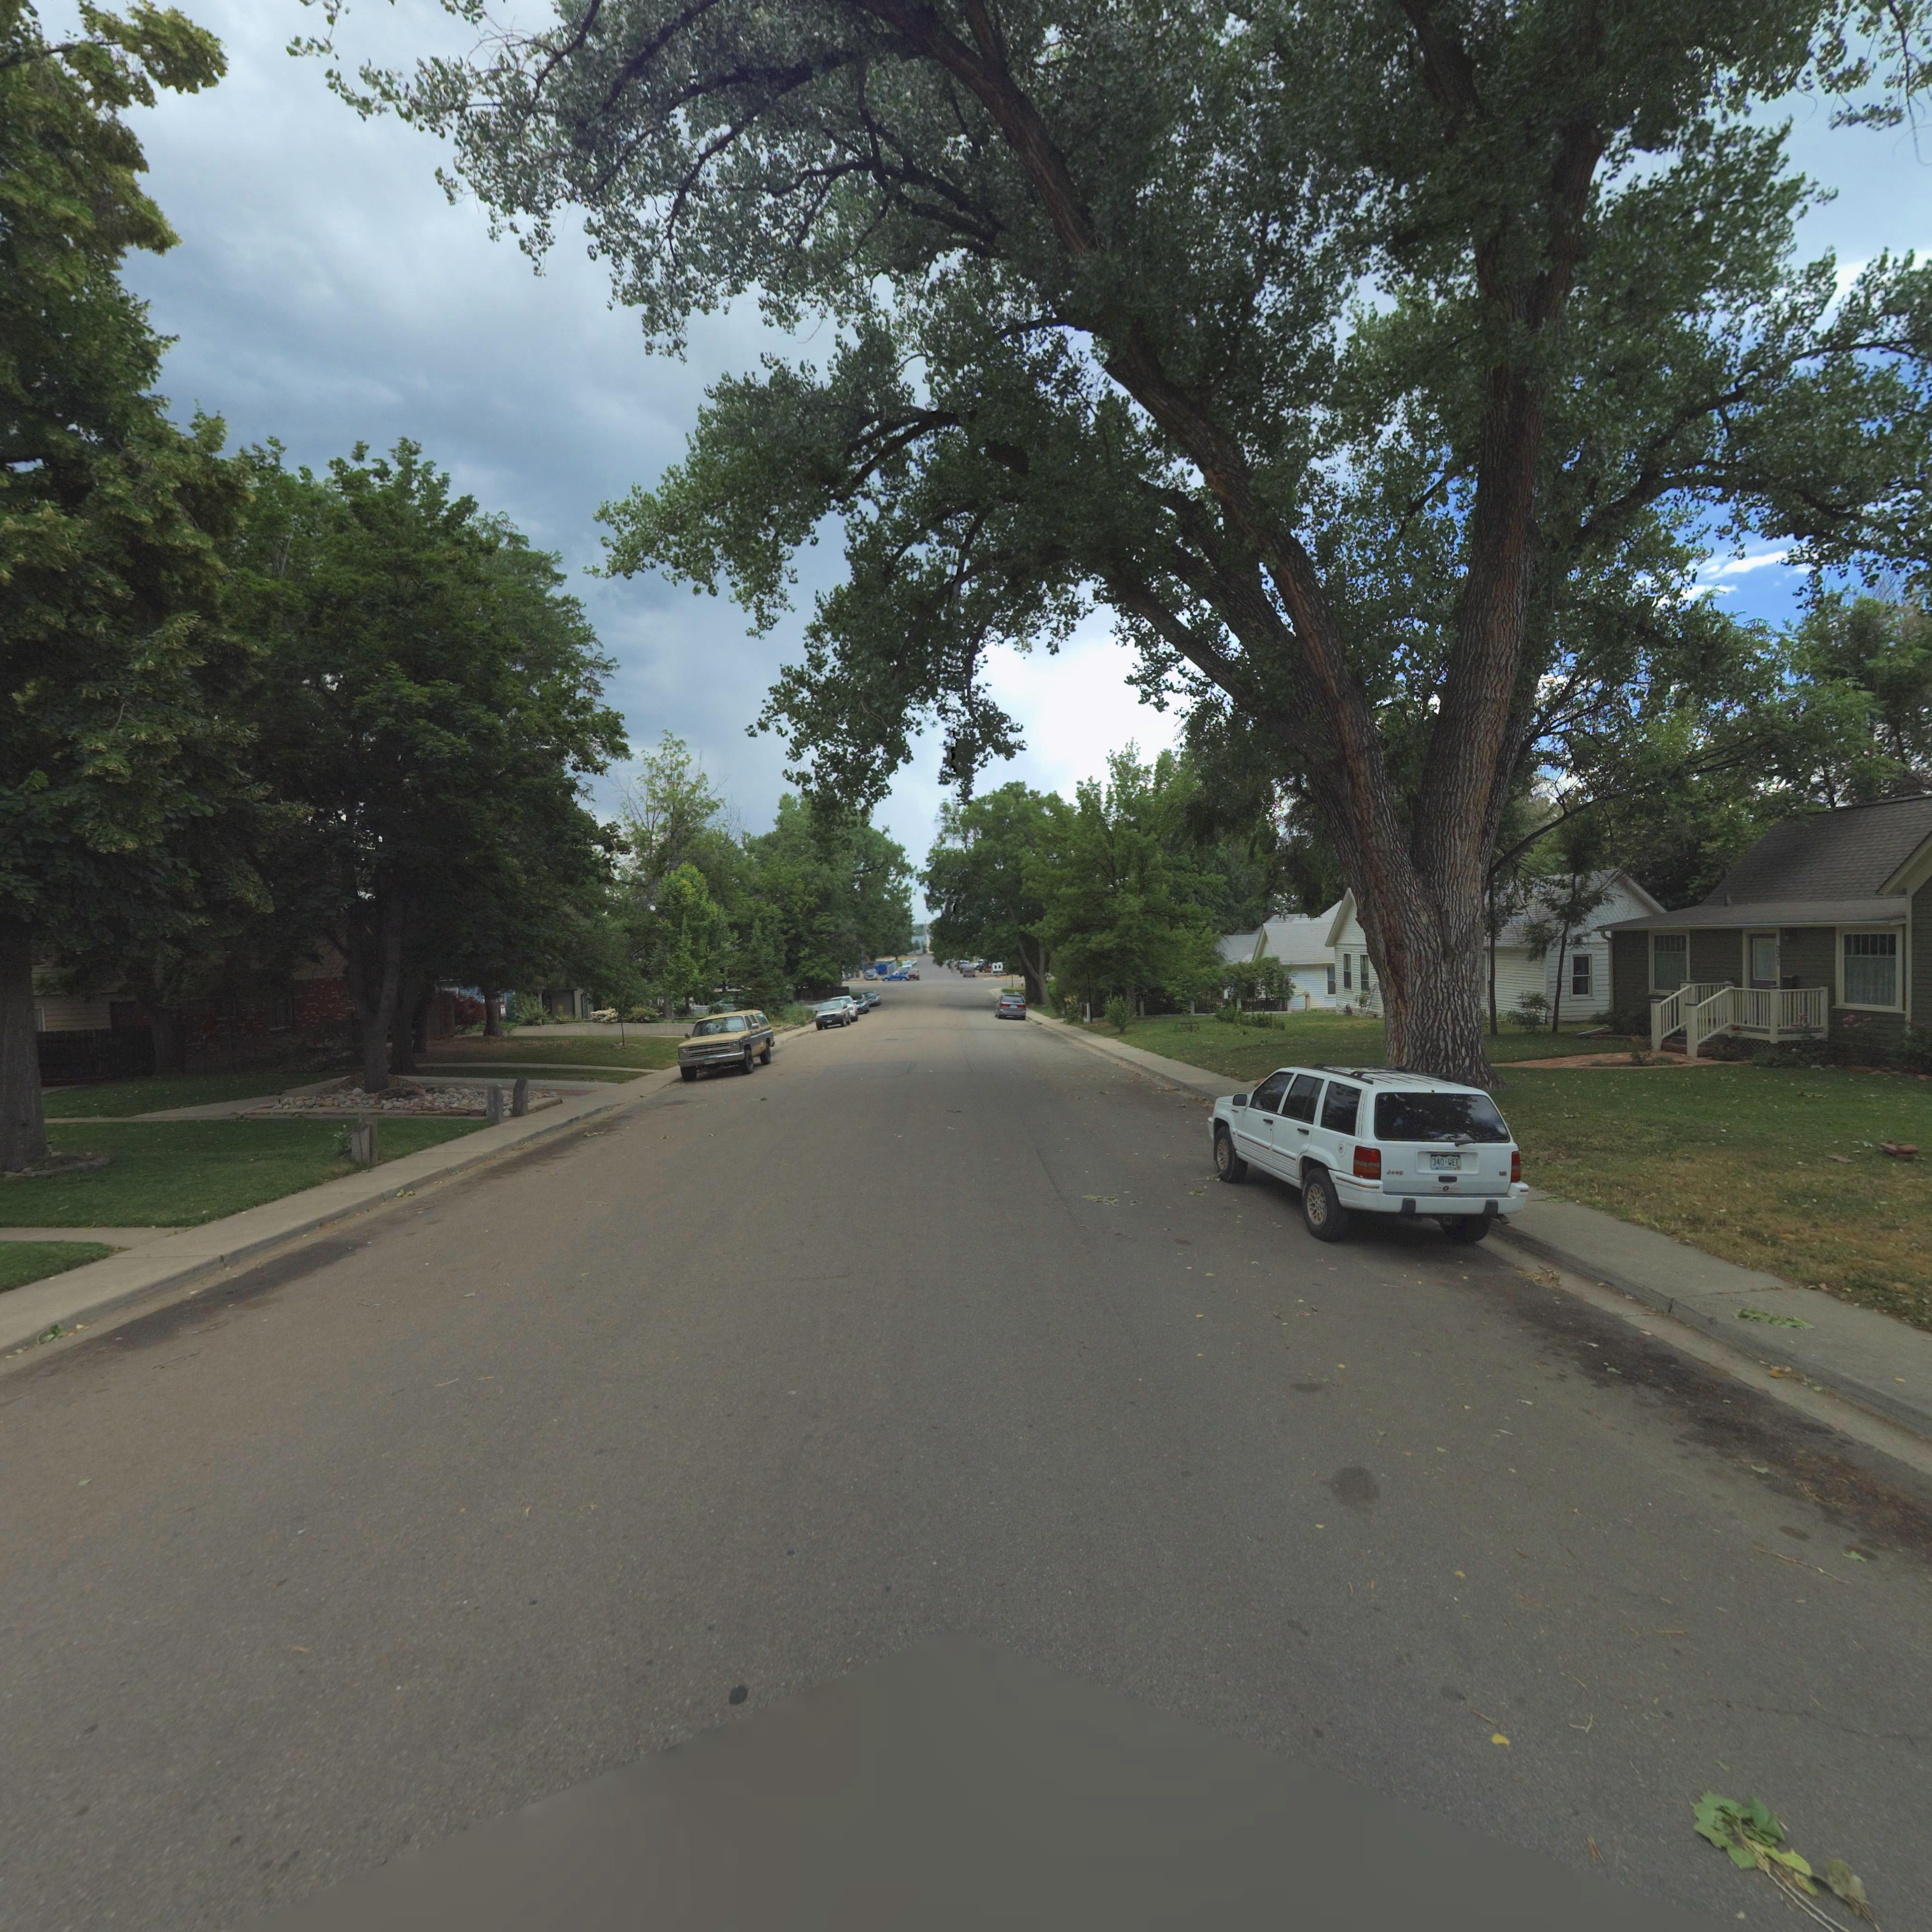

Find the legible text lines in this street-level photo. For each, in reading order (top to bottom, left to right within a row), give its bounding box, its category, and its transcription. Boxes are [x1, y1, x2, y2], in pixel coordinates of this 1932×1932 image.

[1776, 945, 1780, 966] StreetNumber: 331